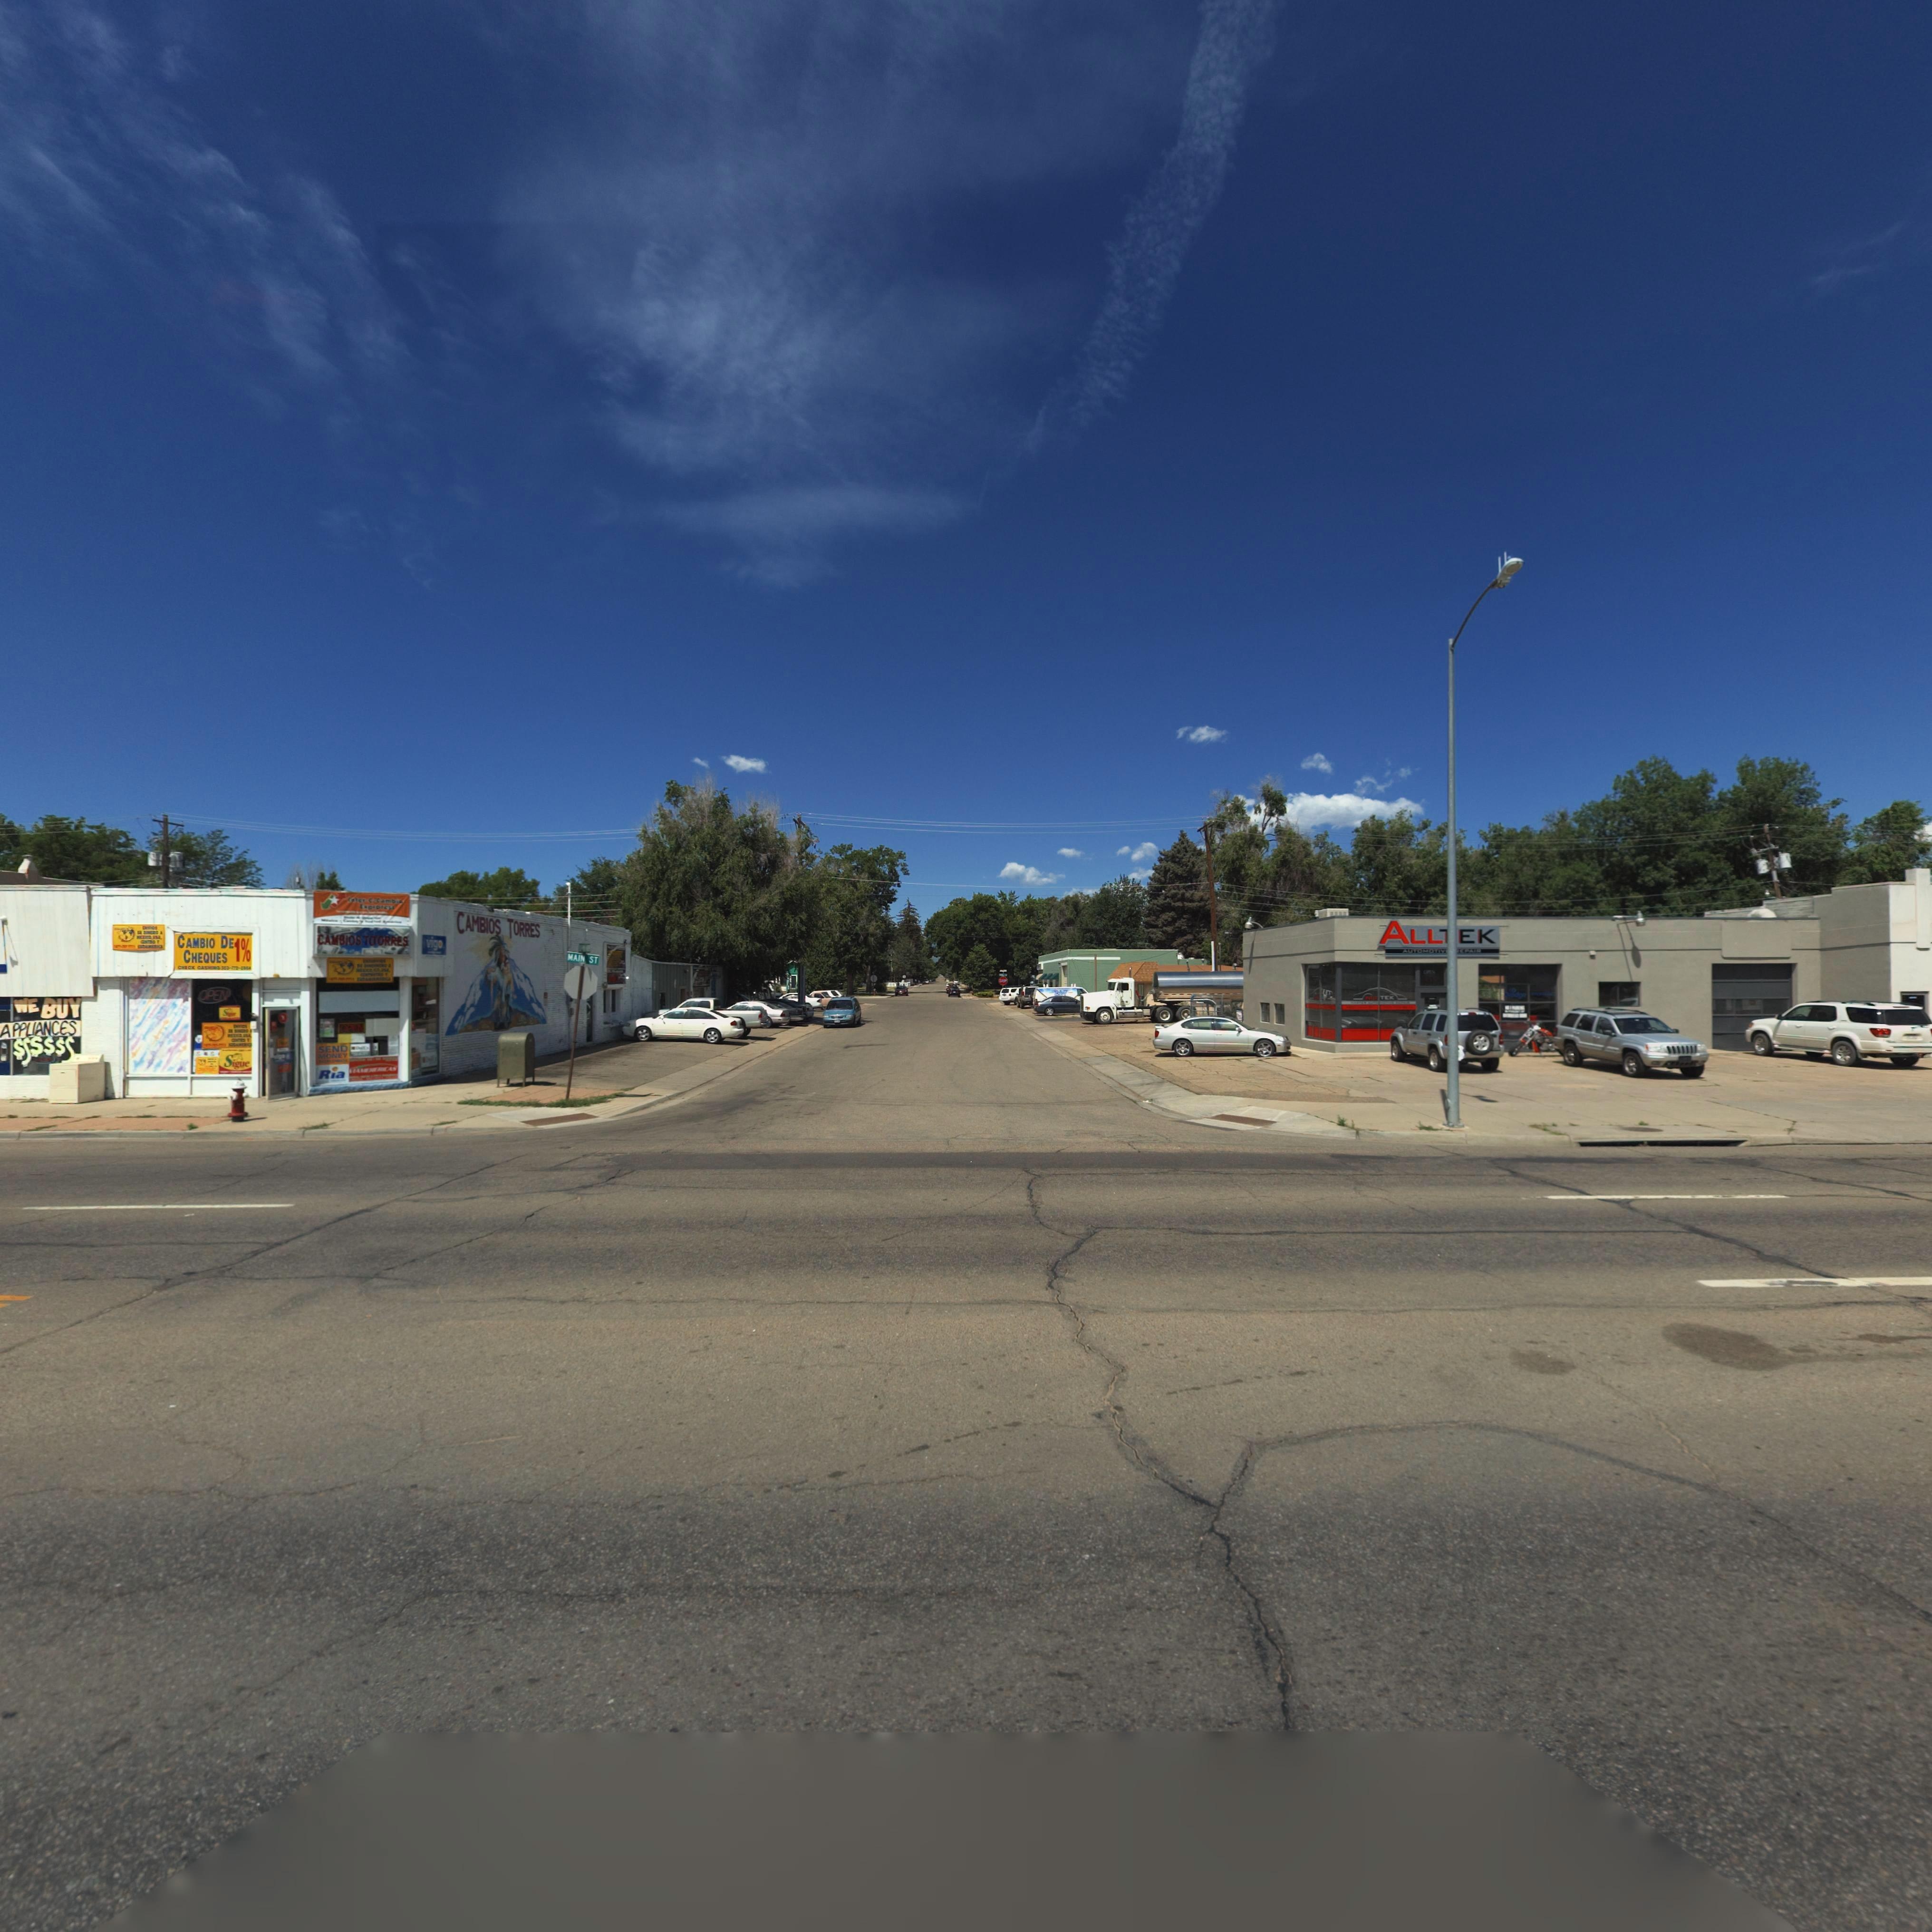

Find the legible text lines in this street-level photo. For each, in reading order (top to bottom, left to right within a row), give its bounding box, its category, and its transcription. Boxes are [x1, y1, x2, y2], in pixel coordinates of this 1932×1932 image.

[456, 911, 540, 938] BusinessName: CAMBIOS TORRES
[1378, 919, 1496, 945] BusinessName: ALL*EK
[317, 934, 409, 946] BusinessName: CAMBIOS T*ORRES
[567, 953, 598, 964] StreetName: MAIN ST
[1363, 995, 1394, 1000] BusinessName: ALLTEK